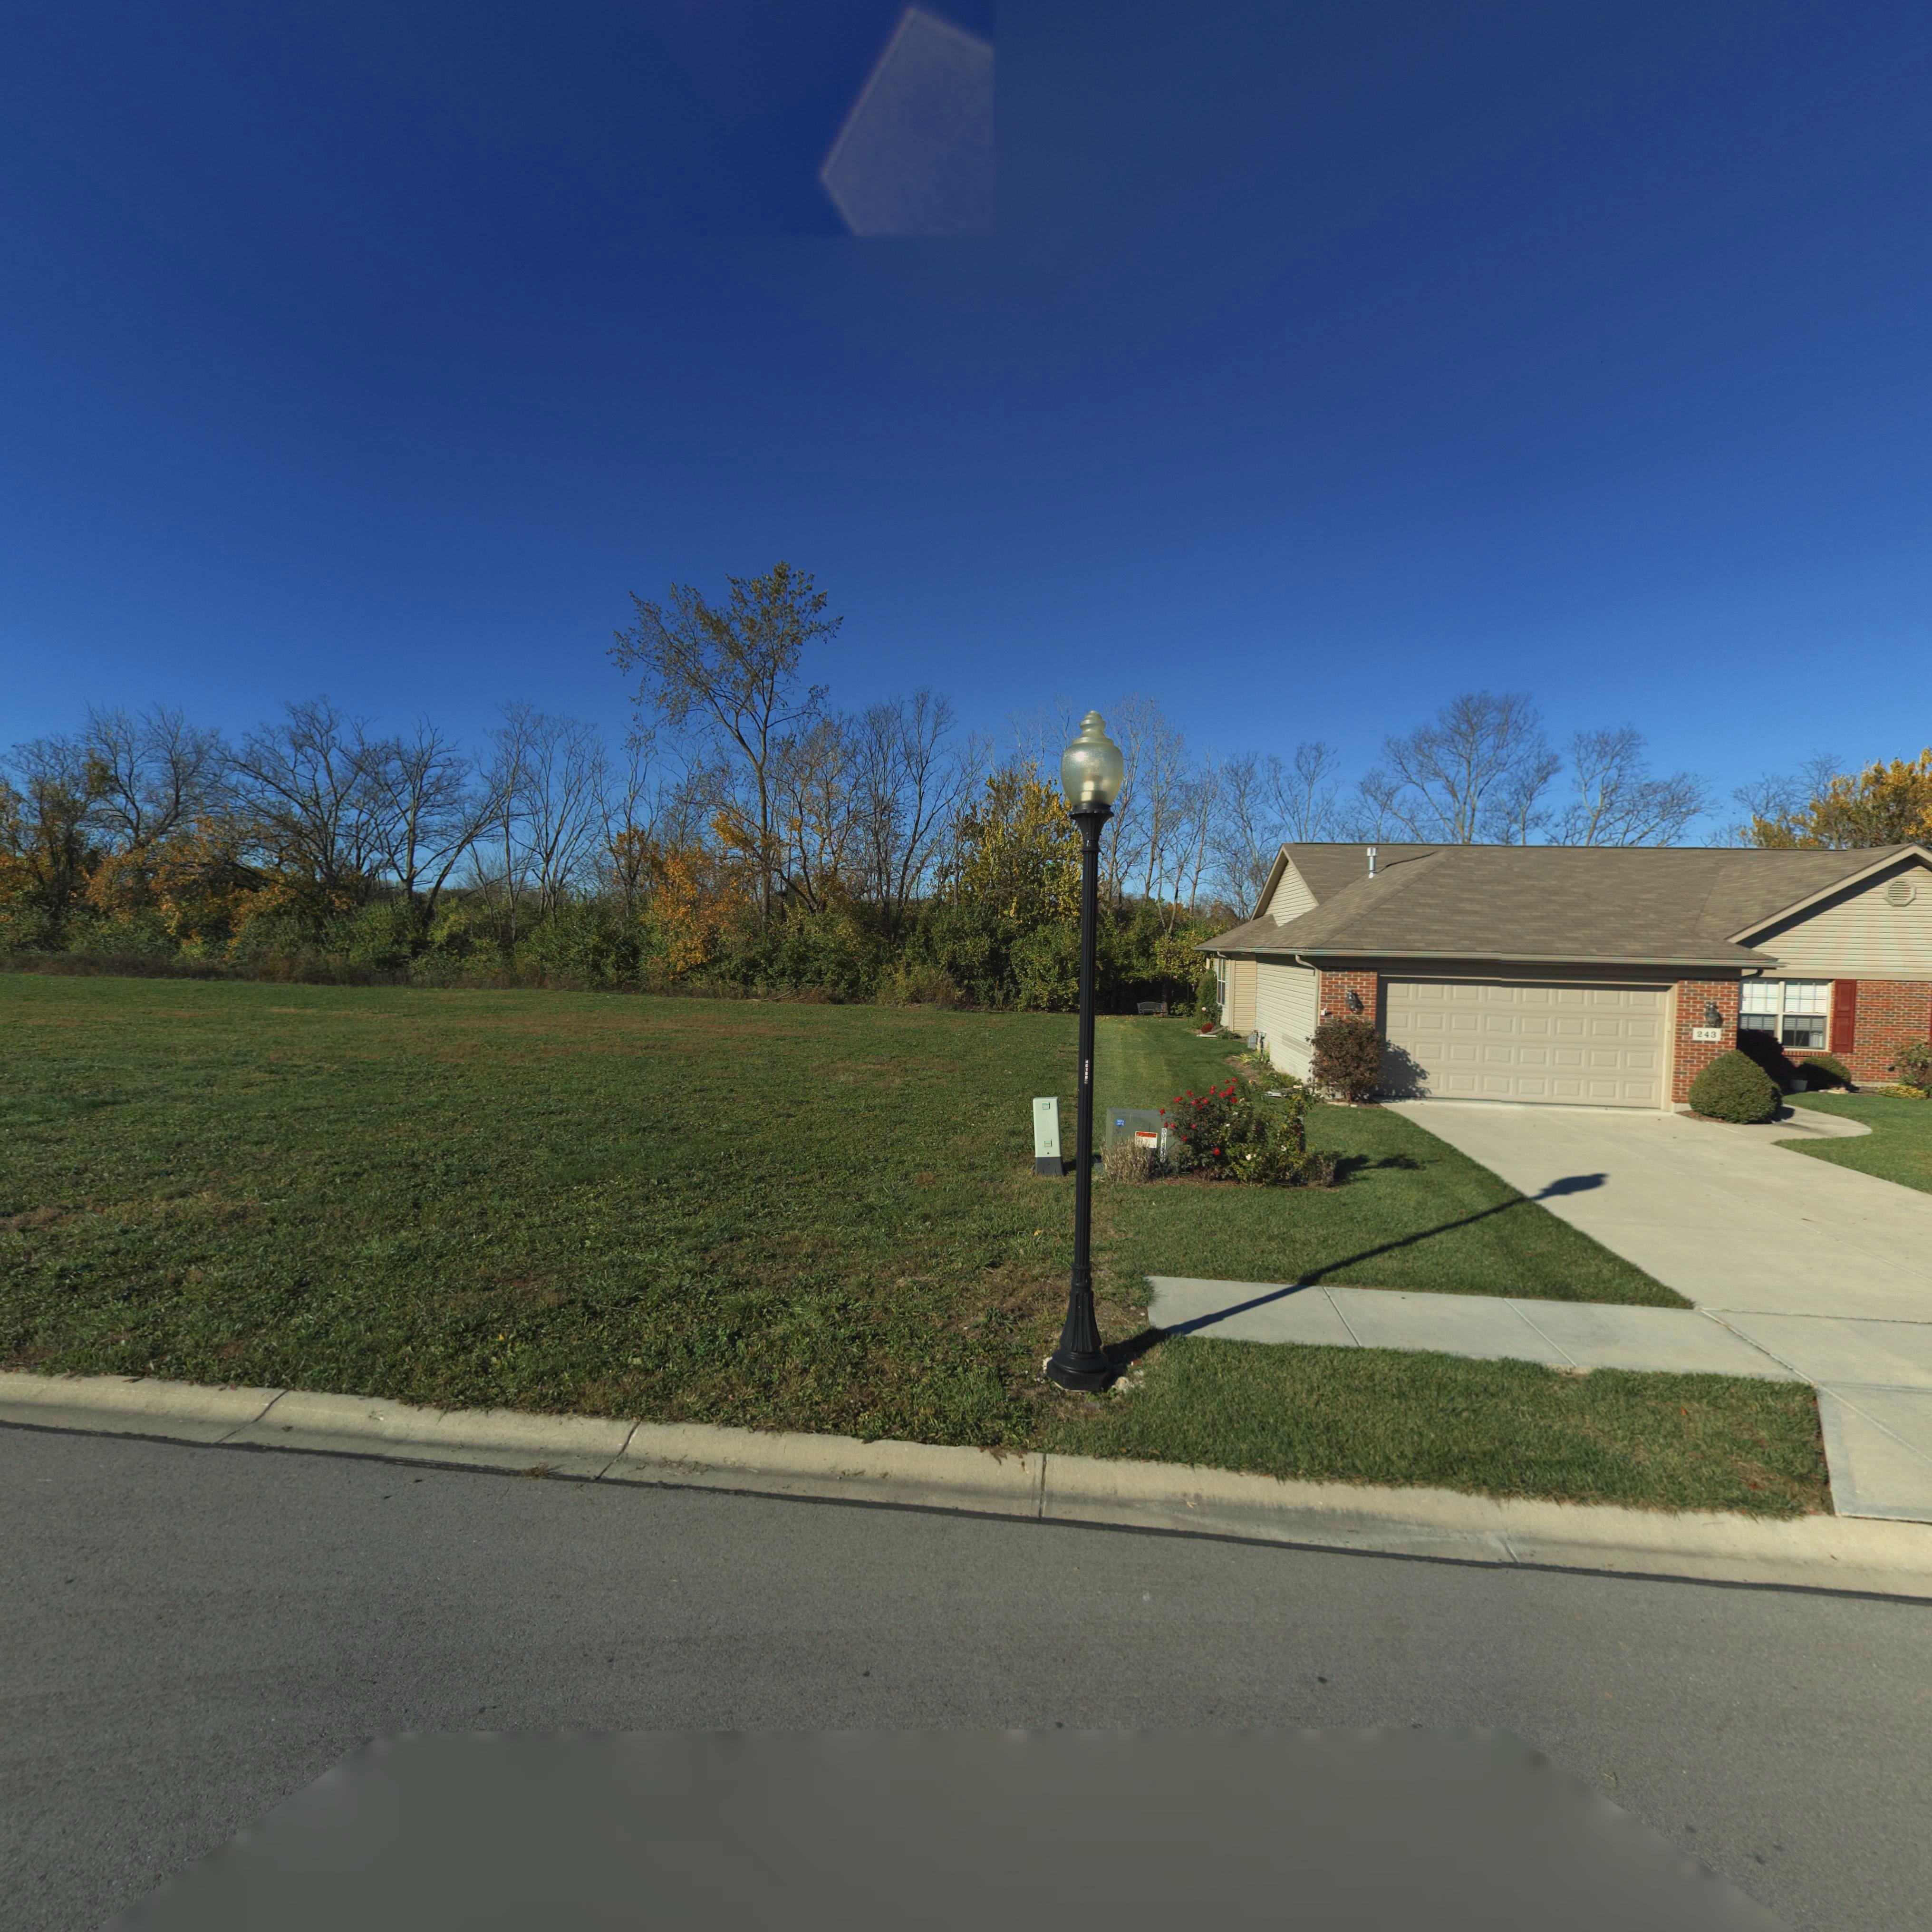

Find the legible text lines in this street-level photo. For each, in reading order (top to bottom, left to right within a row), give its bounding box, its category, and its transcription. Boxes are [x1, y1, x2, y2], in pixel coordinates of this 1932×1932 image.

[1696, 1029, 1718, 1039] StreetNumber: 243